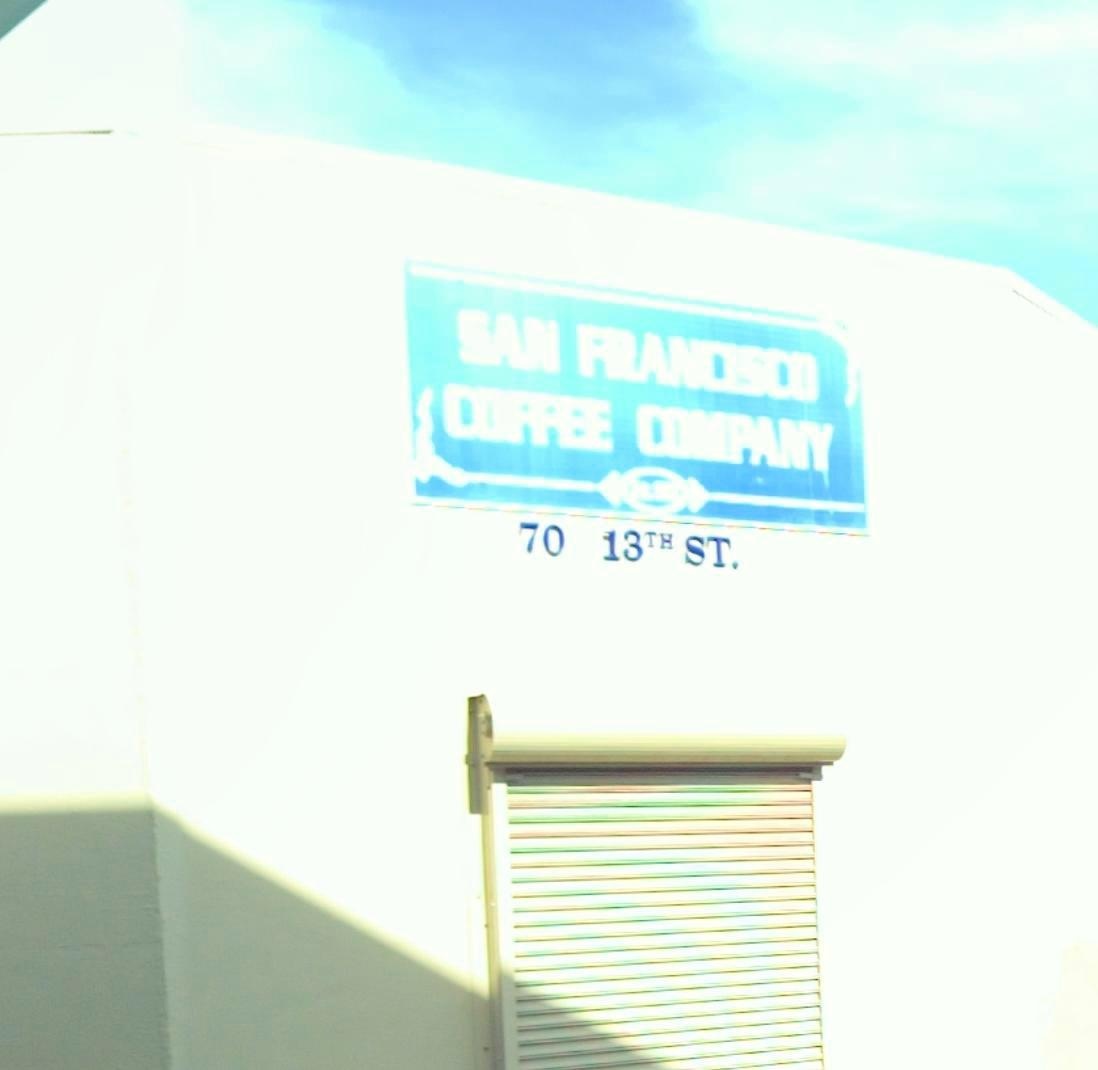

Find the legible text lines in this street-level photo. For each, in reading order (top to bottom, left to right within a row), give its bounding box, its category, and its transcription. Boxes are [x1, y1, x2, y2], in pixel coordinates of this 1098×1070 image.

[452, 300, 826, 410] BusinessName: SAN FRANCISCO
[438, 374, 842, 478] BusinessName: VOFFEE COMPANY
[514, 517, 572, 562] StreetNumber: 70
[598, 524, 746, 577] StreetName: 13TH ST.